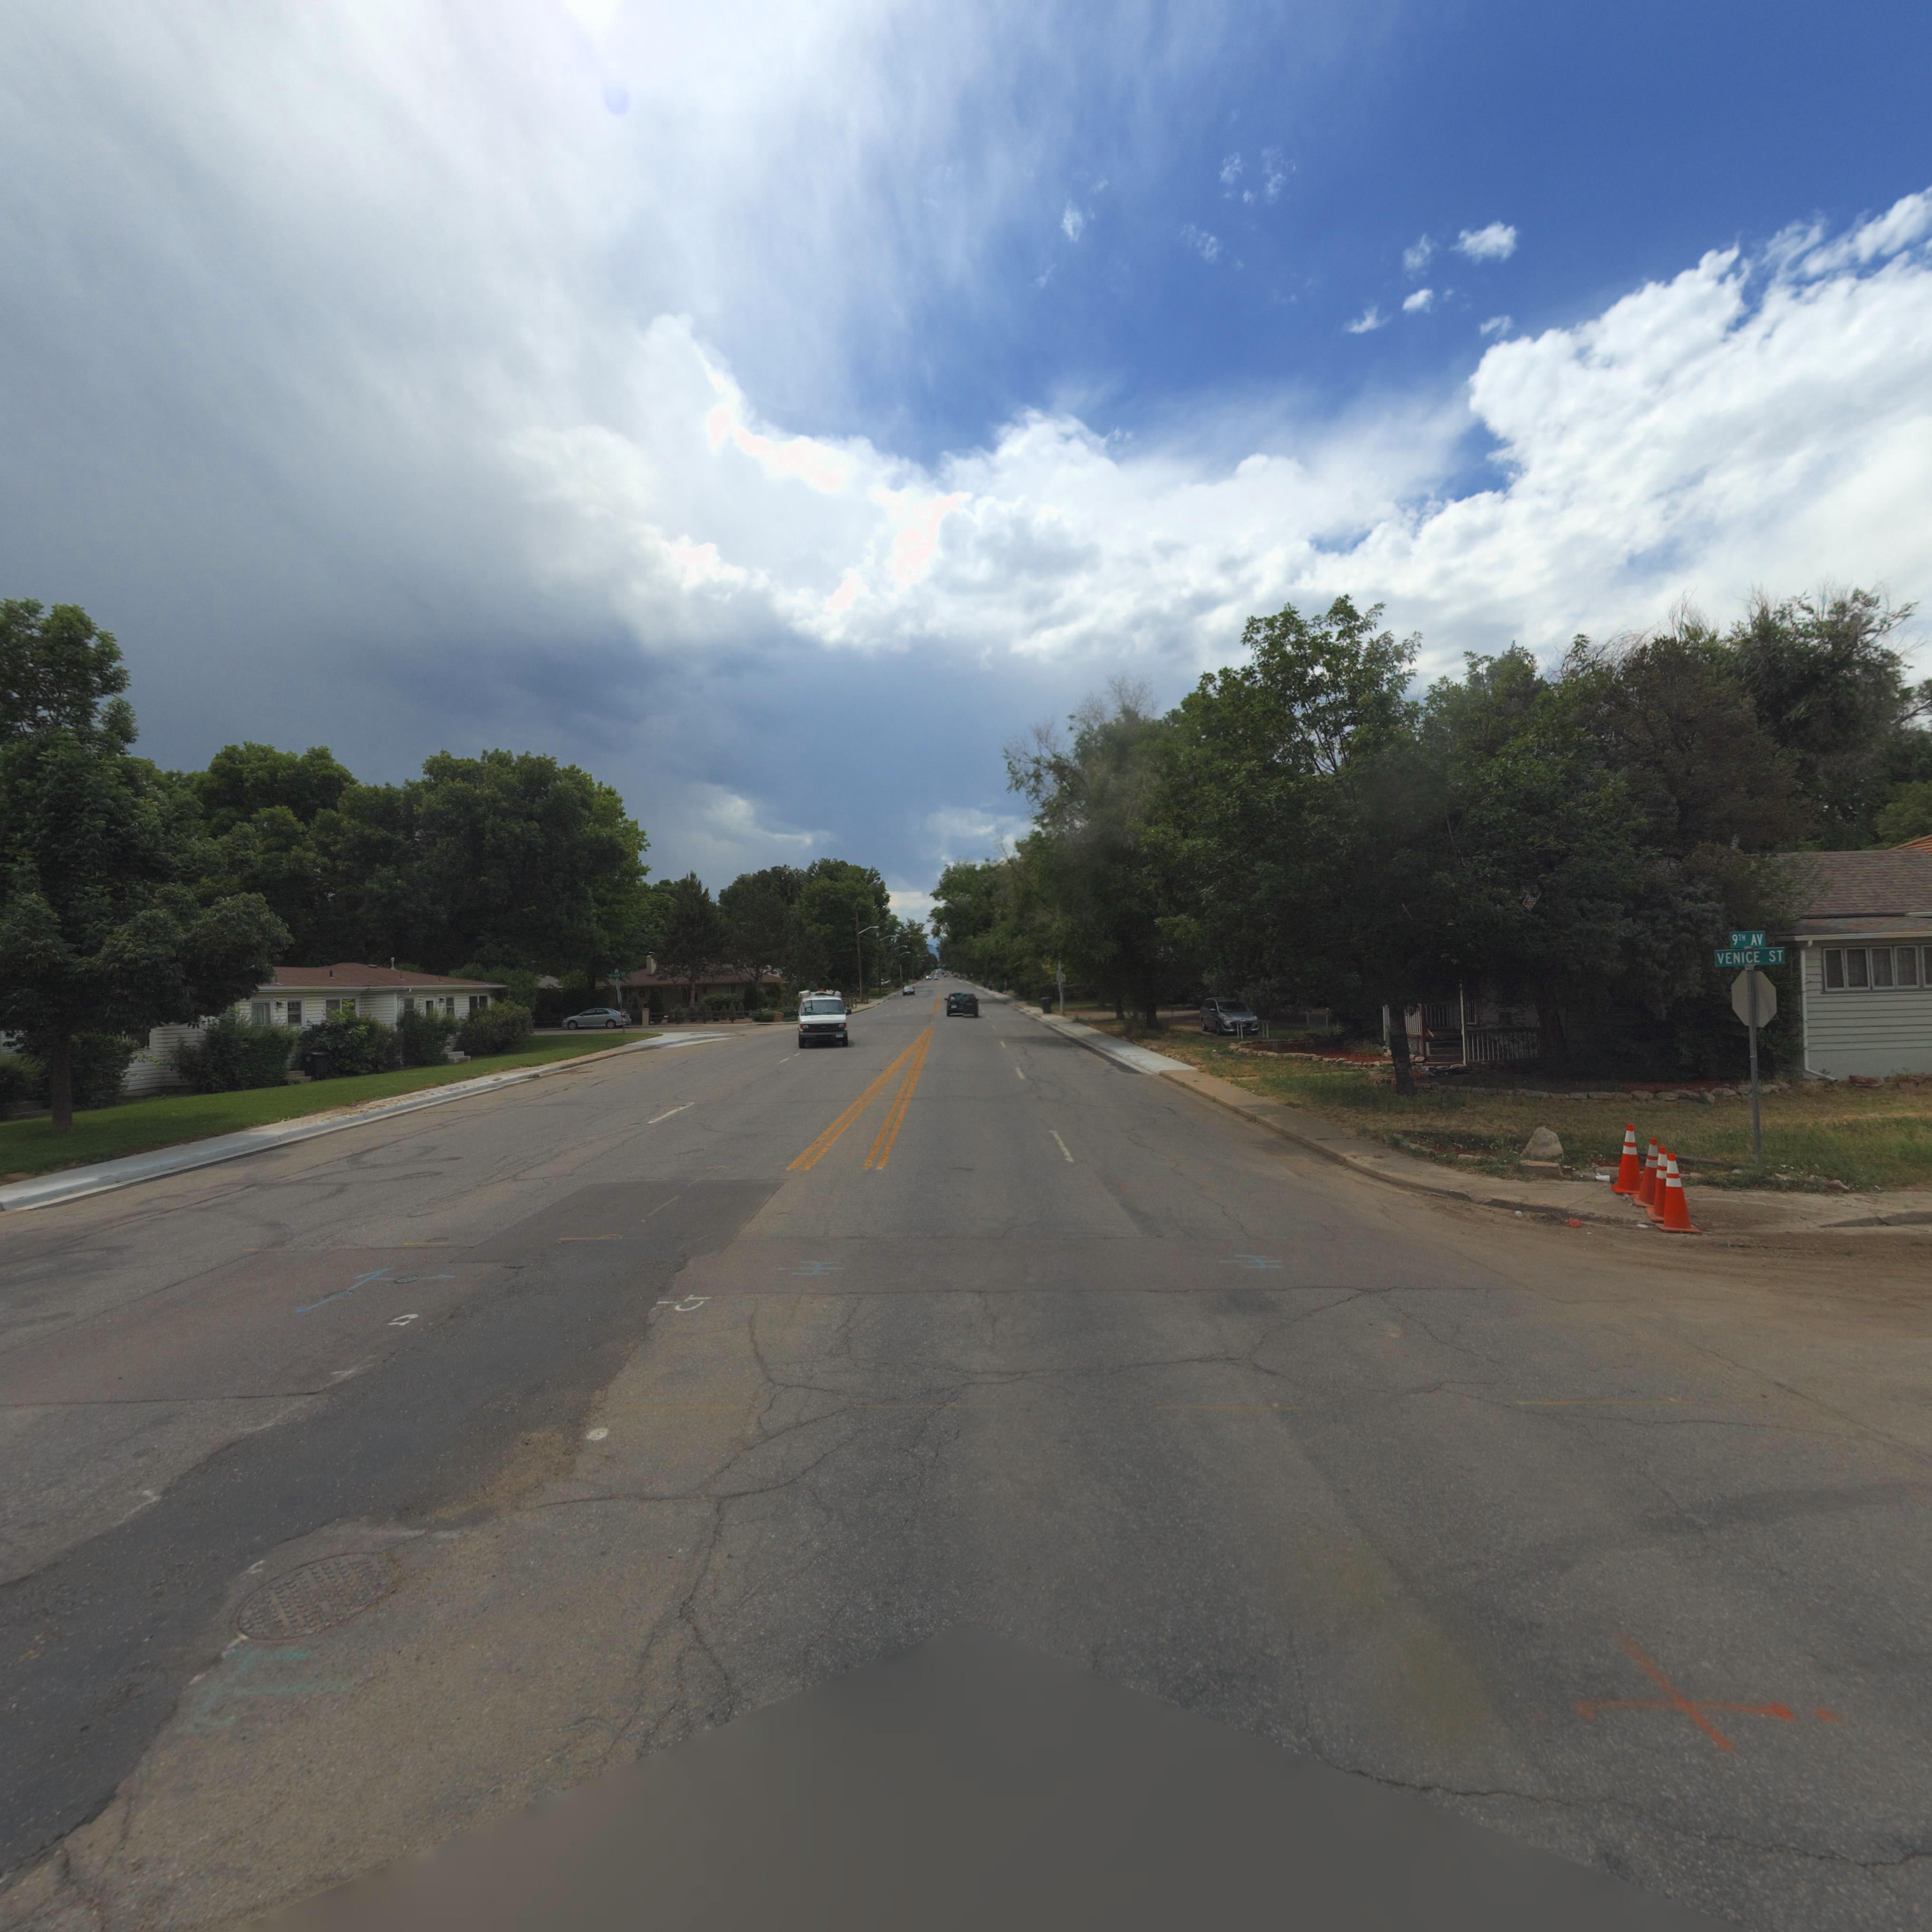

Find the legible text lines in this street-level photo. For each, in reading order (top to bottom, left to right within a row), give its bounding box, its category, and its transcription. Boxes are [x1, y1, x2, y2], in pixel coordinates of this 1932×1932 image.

[1731, 933, 1763, 946] StreetName: 9TH AV
[1716, 949, 1783, 965] StreetName: VENICE ST